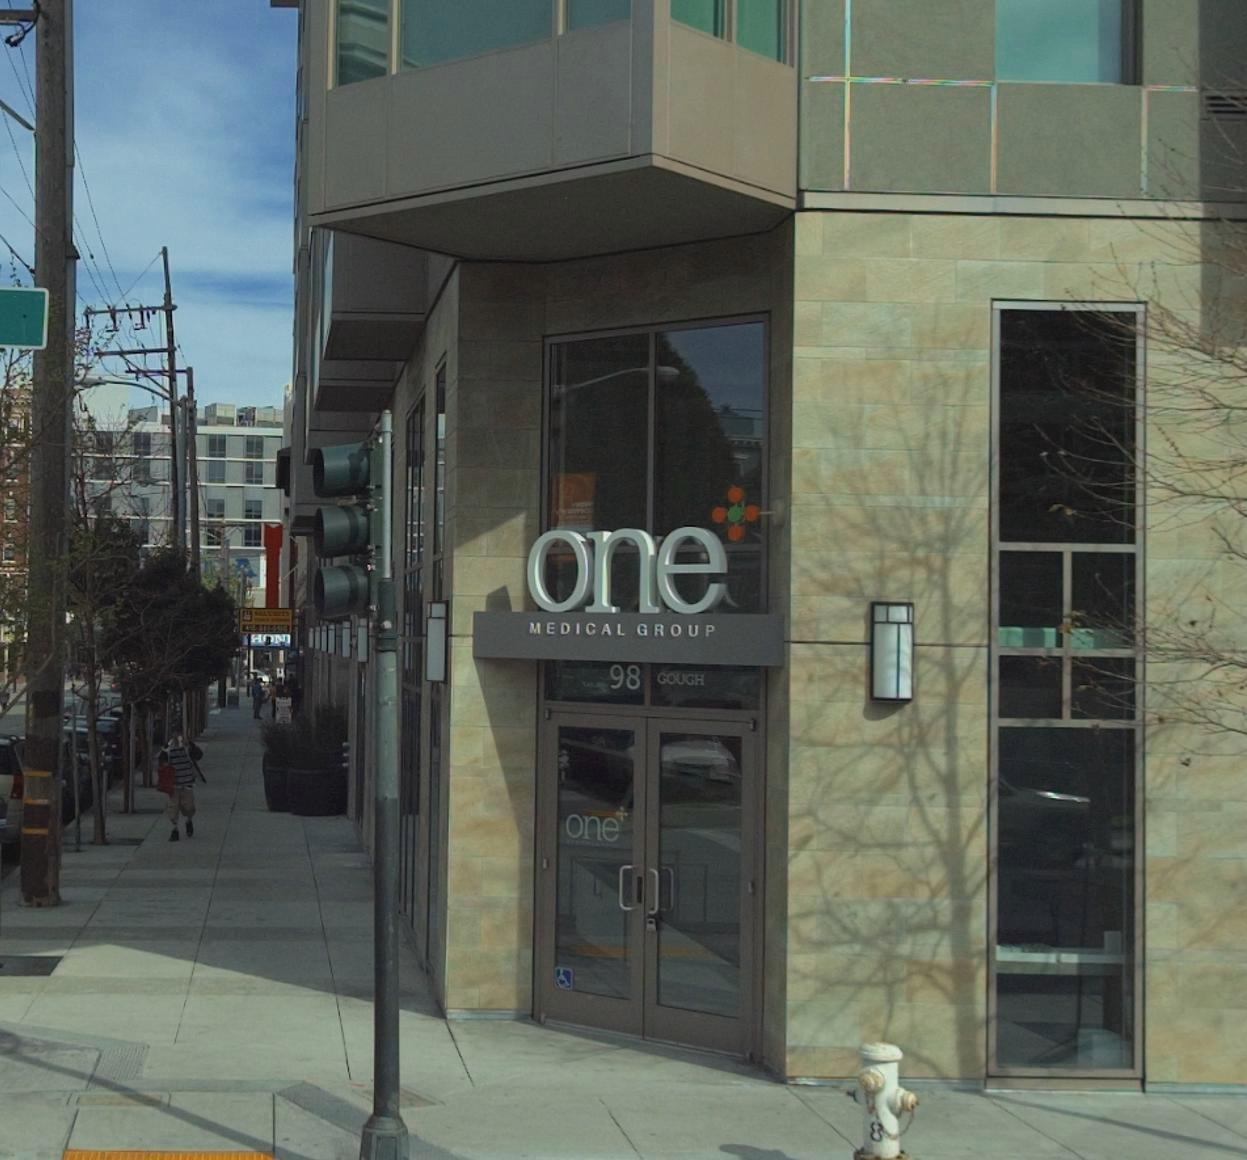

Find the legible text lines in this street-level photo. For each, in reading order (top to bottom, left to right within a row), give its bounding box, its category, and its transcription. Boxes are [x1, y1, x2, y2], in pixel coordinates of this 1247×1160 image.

[522, 524, 731, 615] BusinessName: one
[528, 619, 717, 640] BusinessName: MEDICAL GROUP
[608, 662, 643, 693] StreetNumber: 98
[654, 669, 708, 689] StreetName: COUGH
[563, 811, 623, 845] BusinessName: one